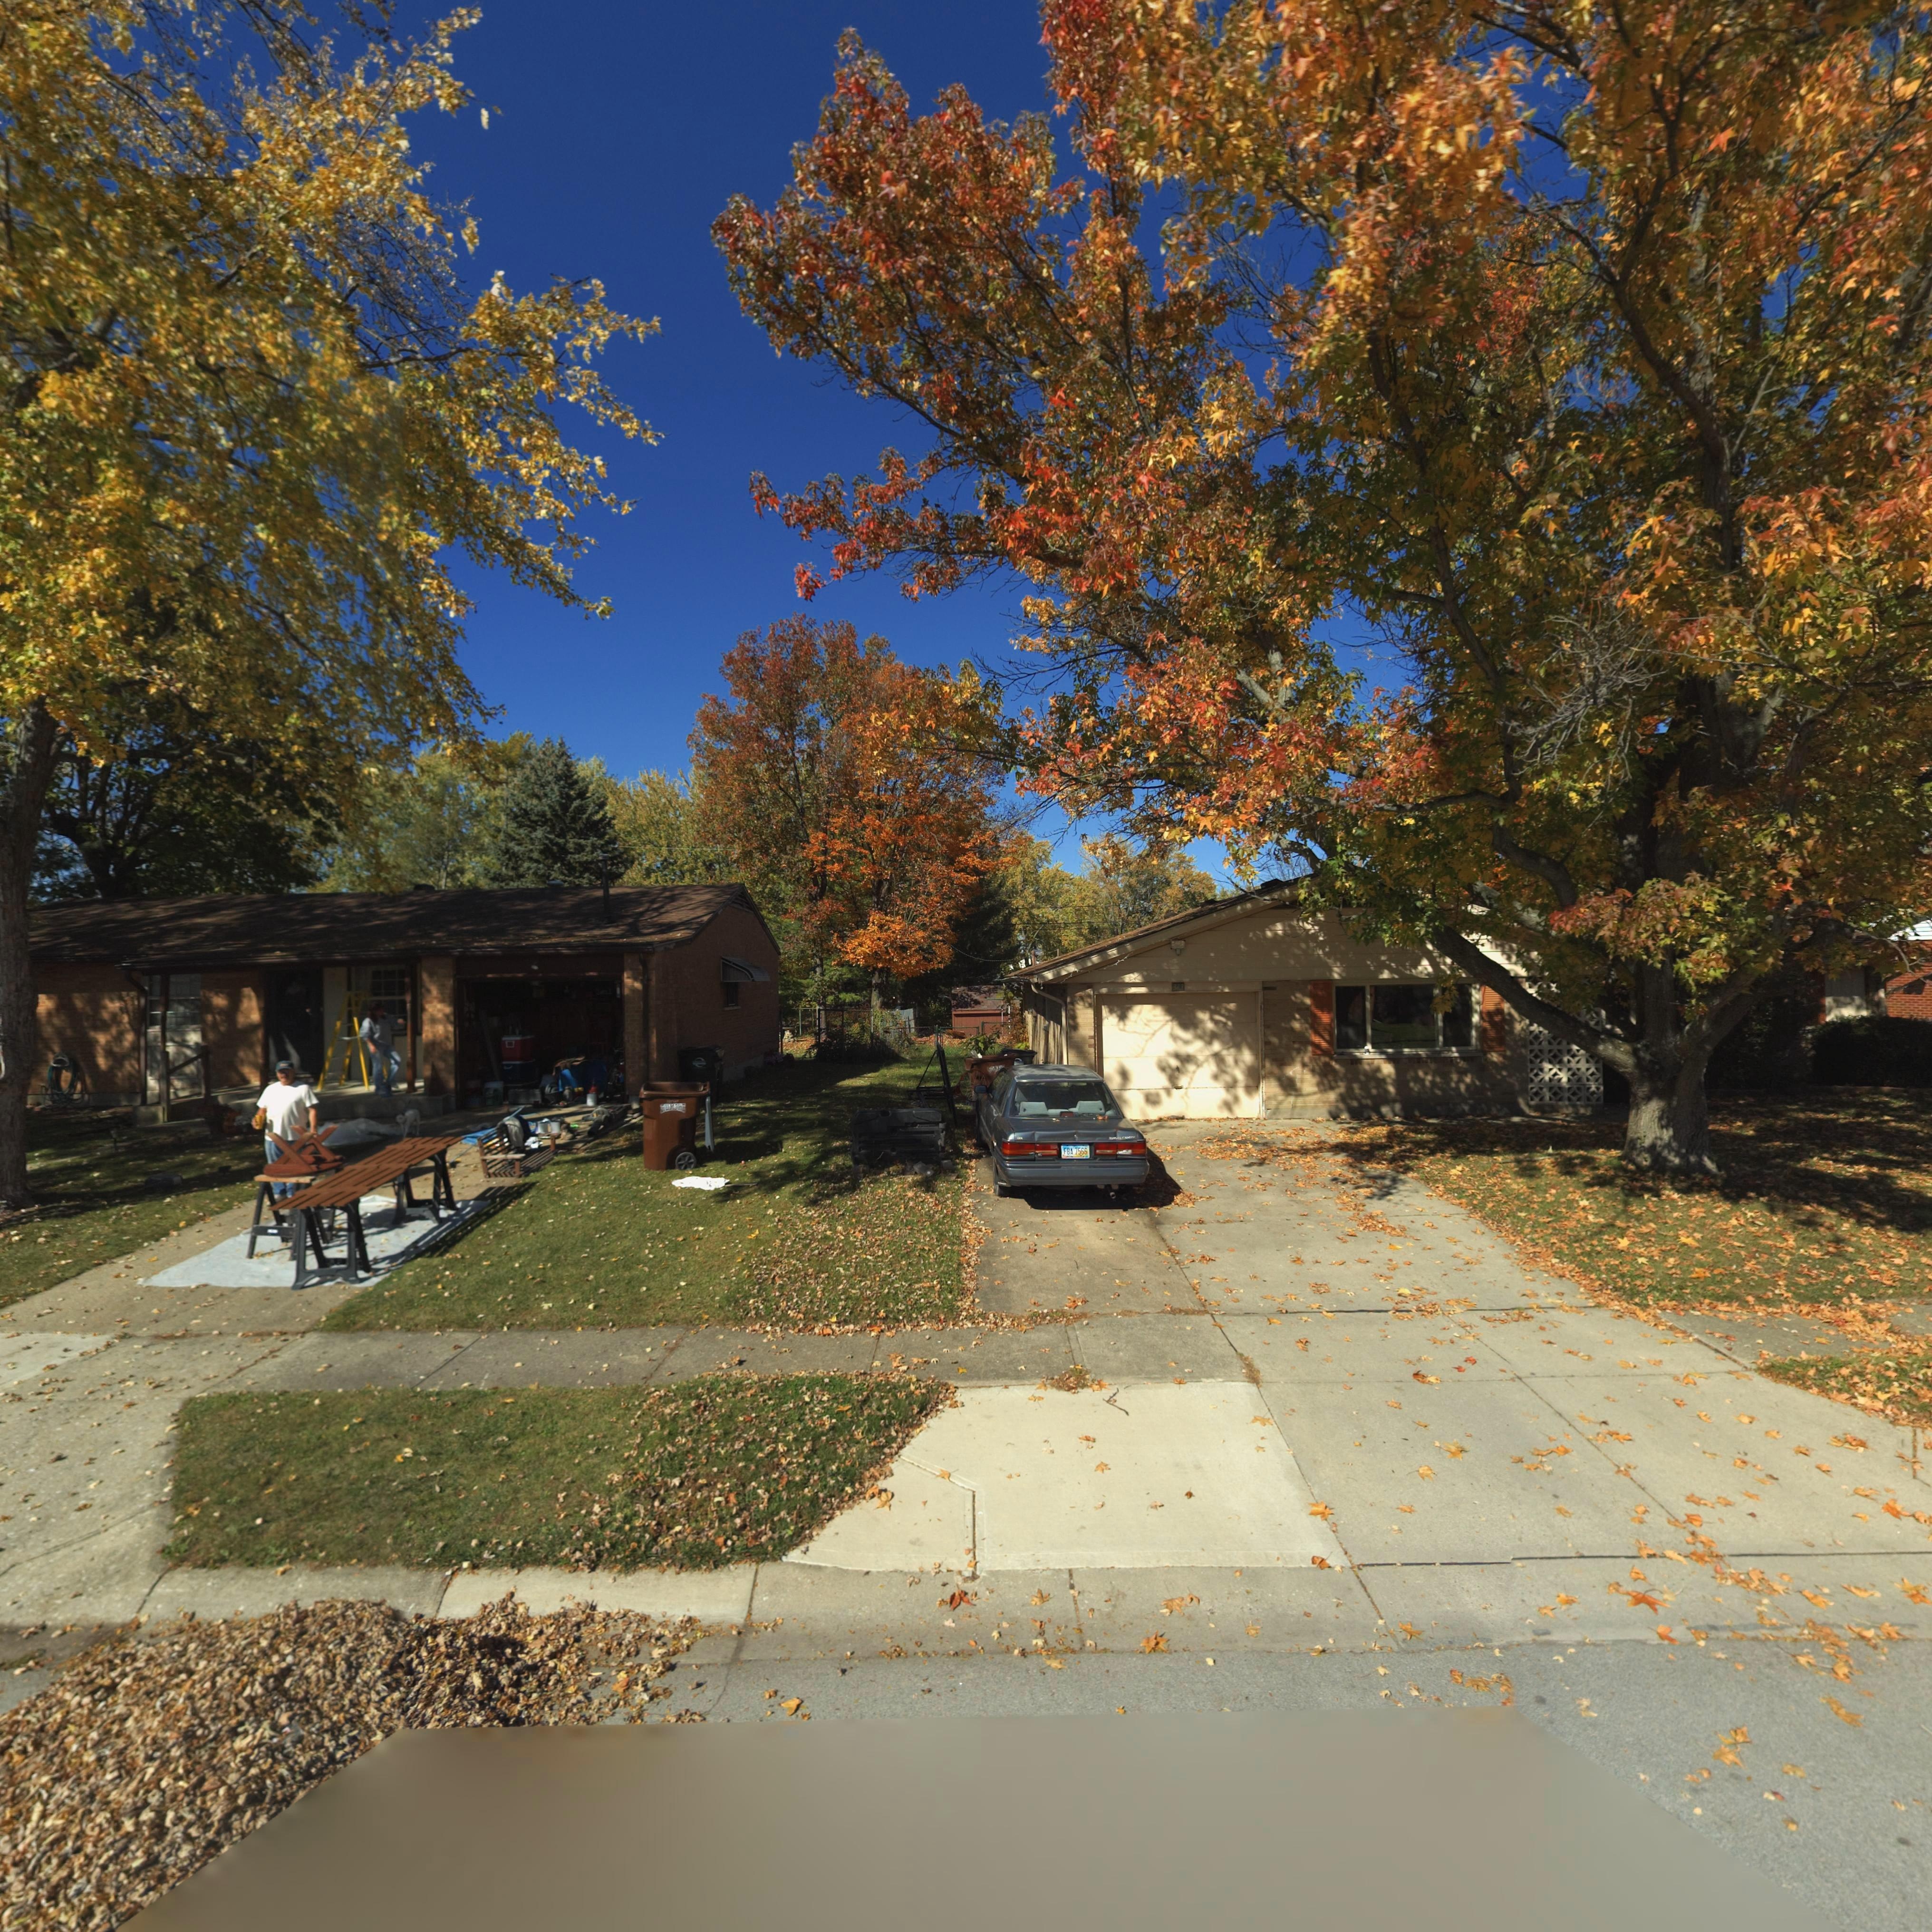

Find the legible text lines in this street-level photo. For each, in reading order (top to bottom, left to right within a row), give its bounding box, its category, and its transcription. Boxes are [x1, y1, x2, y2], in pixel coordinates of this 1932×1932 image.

[1171, 983, 1185, 992] StreetNumber: 3**
[1121, 1135, 1136, 1140] None: CAMRY
[1063, 1147, 1088, 1155] None: FBA*7566